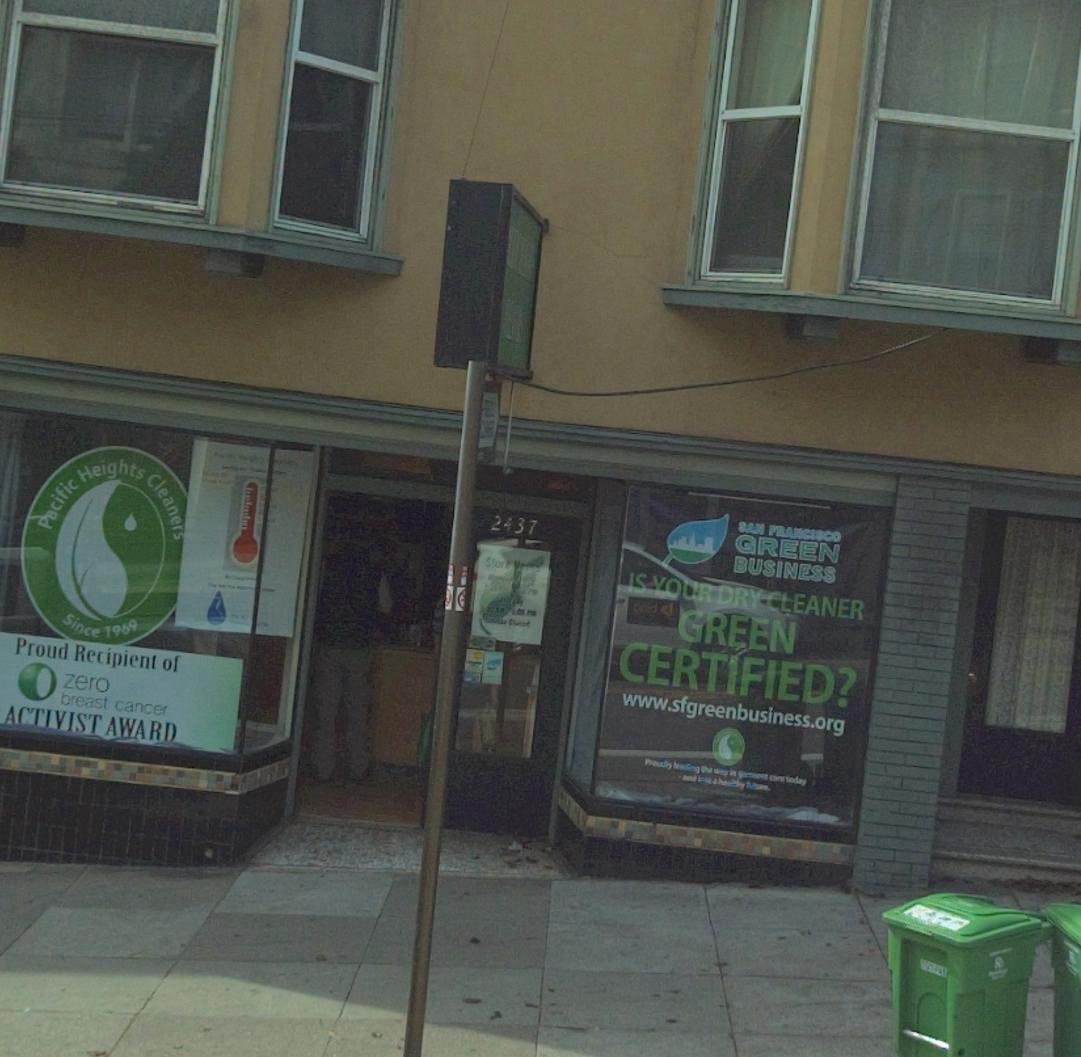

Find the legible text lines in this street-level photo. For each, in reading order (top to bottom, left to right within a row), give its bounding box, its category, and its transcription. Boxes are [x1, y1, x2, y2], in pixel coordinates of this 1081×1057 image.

[33, 455, 187, 543] BusinessName: P*cific Heights Cleaners
[486, 511, 541, 539] StreetNumber: 2437
[736, 517, 845, 545] None: SAN FRANCI*CO
[483, 553, 513, 572] None: Store
[732, 553, 837, 584] None: BUSINESS
[732, 533, 841, 565] None: GREEN
[630, 599, 660, 619] None: **i*
[626, 568, 867, 623] None: IS YOUR DRY CLEANER
[60, 610, 140, 641] None: Since 1969
[676, 607, 799, 658] None: GREEN
[11, 632, 185, 675] None: Proud Recipient of
[59, 669, 114, 695] None: zero
[616, 639, 861, 711] None: CERTIFIELD?
[1, 702, 181, 746] None: ACTIVIST AWARD
[58, 690, 170, 719] None: breast cancer
[619, 692, 848, 739] None: www.sfgreenbusiness.org